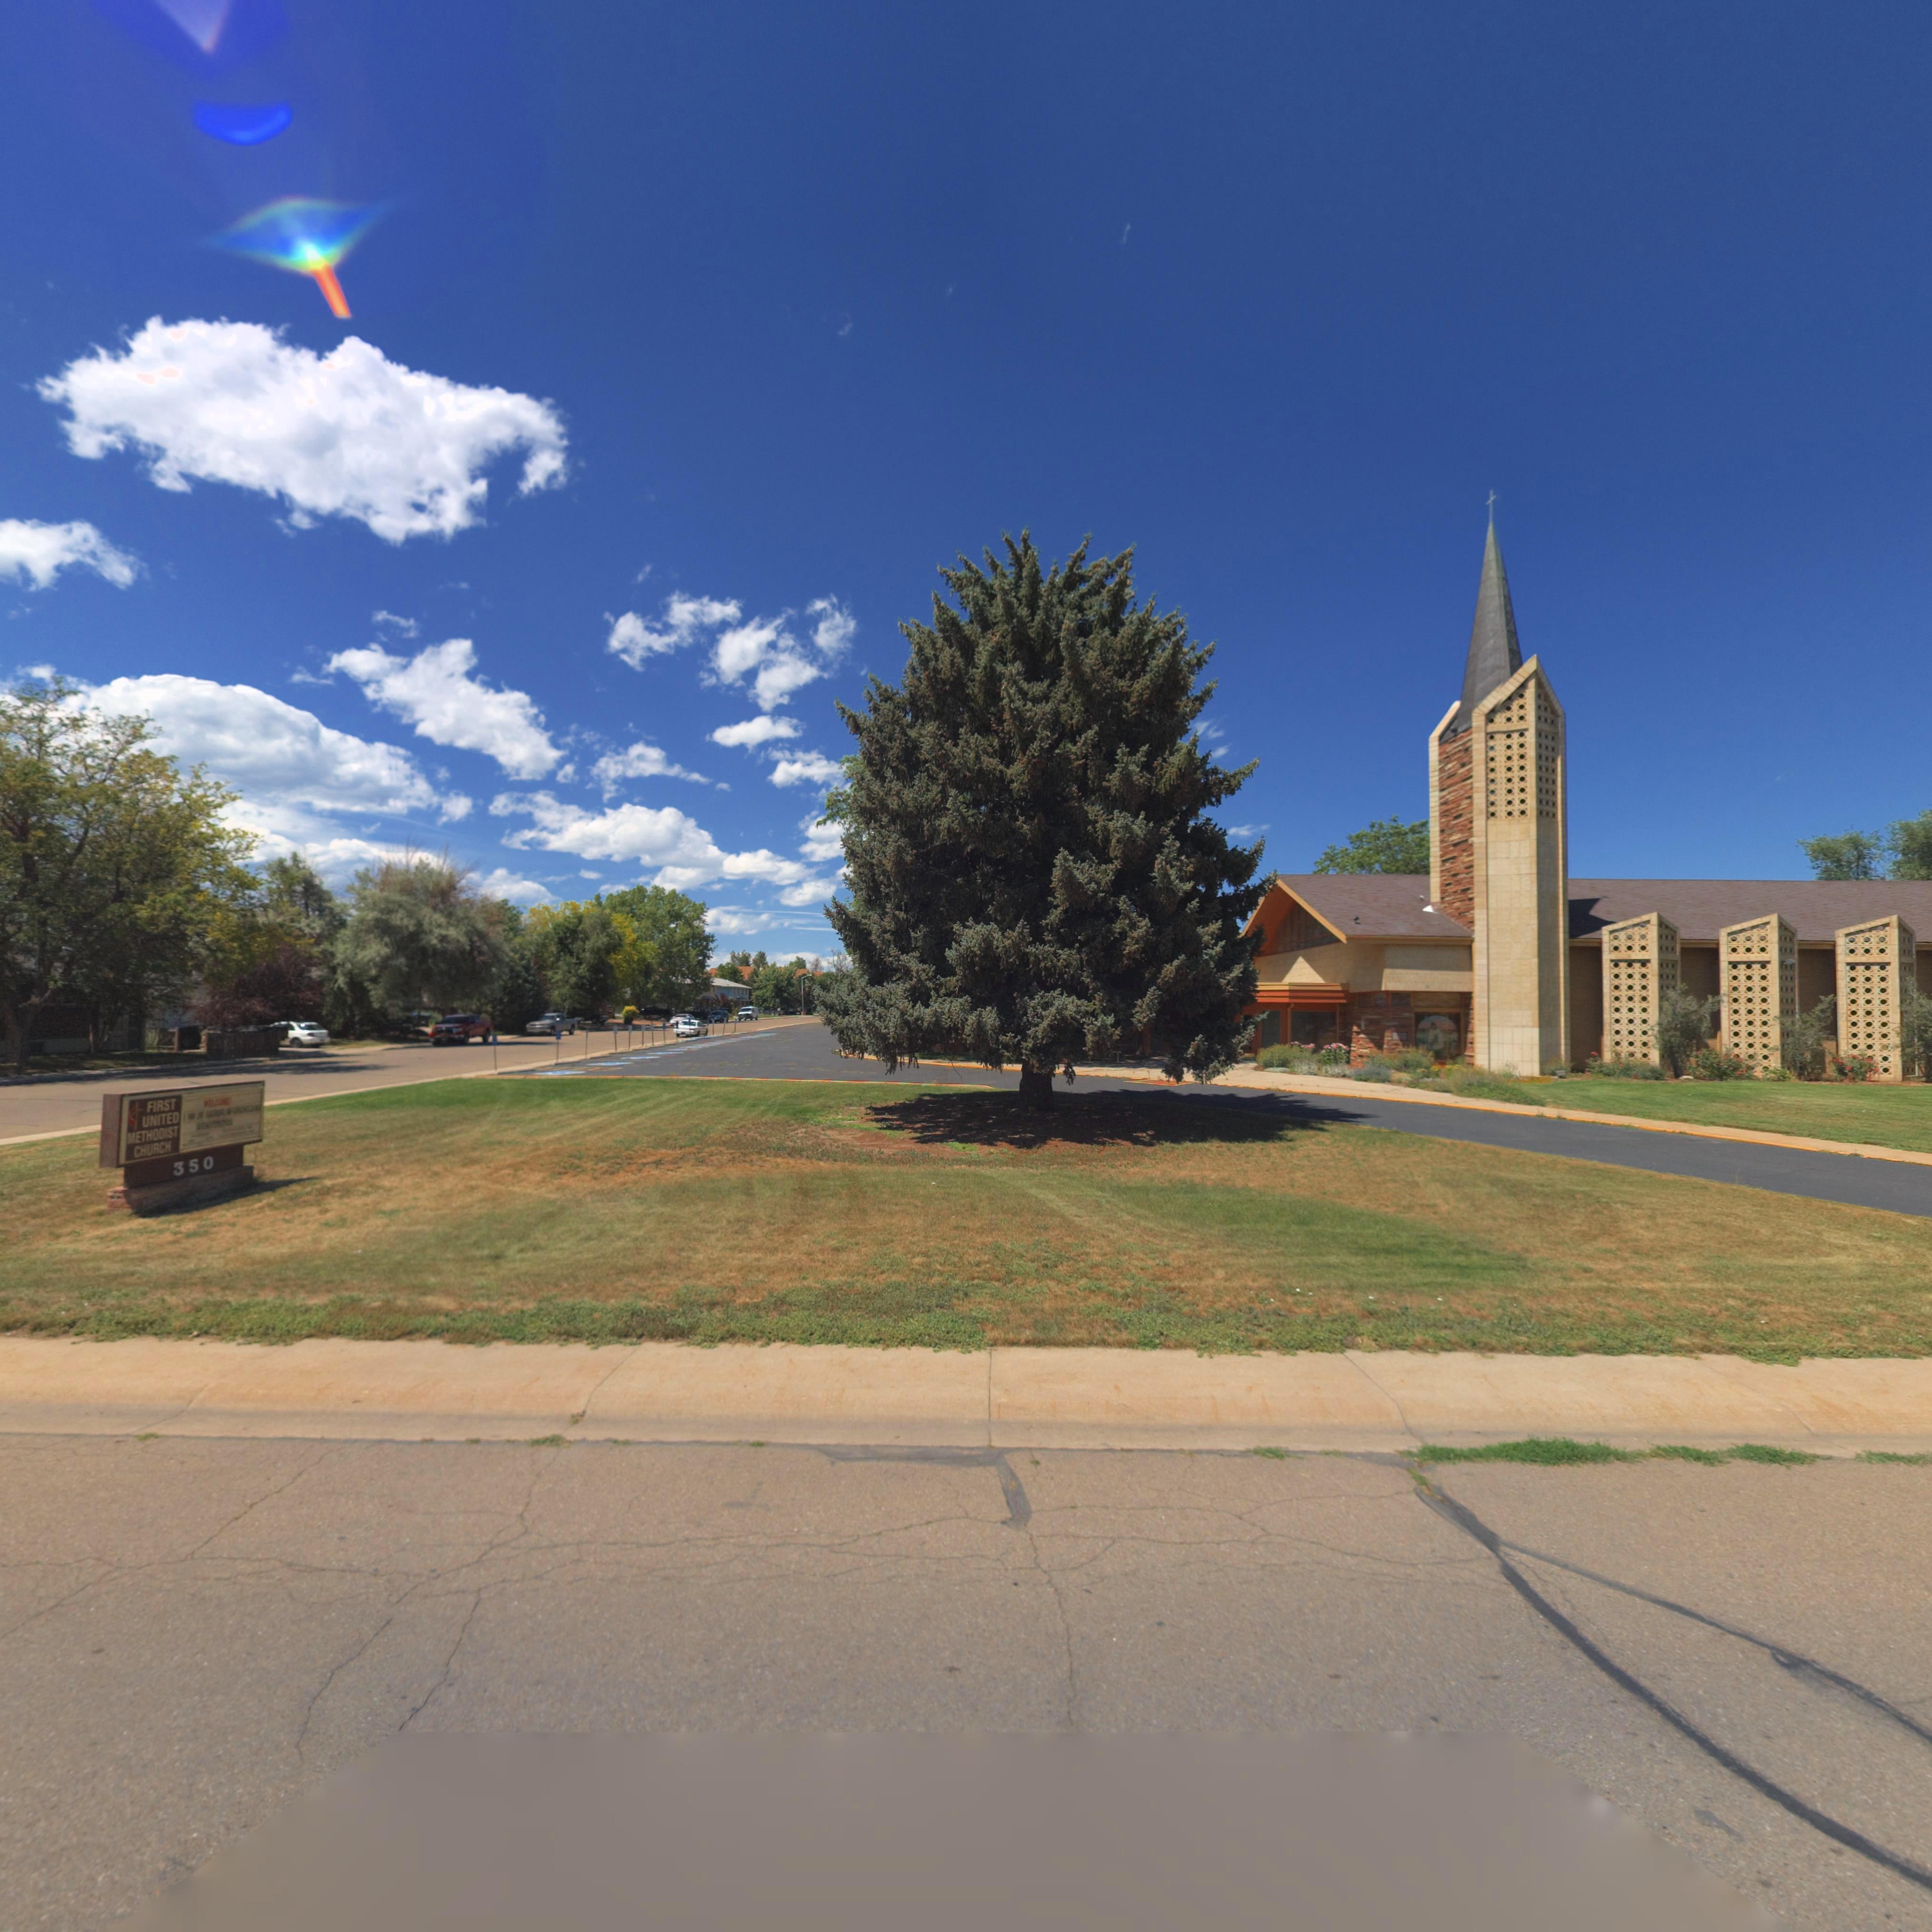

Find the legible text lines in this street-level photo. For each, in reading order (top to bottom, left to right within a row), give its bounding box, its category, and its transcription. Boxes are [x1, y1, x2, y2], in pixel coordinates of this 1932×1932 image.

[145, 1097, 178, 1113] BusinessName: FIRST
[141, 1111, 180, 1128] BusinessName: UNITED
[126, 1125, 179, 1145] BusinessName: METHODIST
[132, 1139, 172, 1159] BusinessName: CHURCH
[172, 1155, 213, 1177] StreetNumber: 350